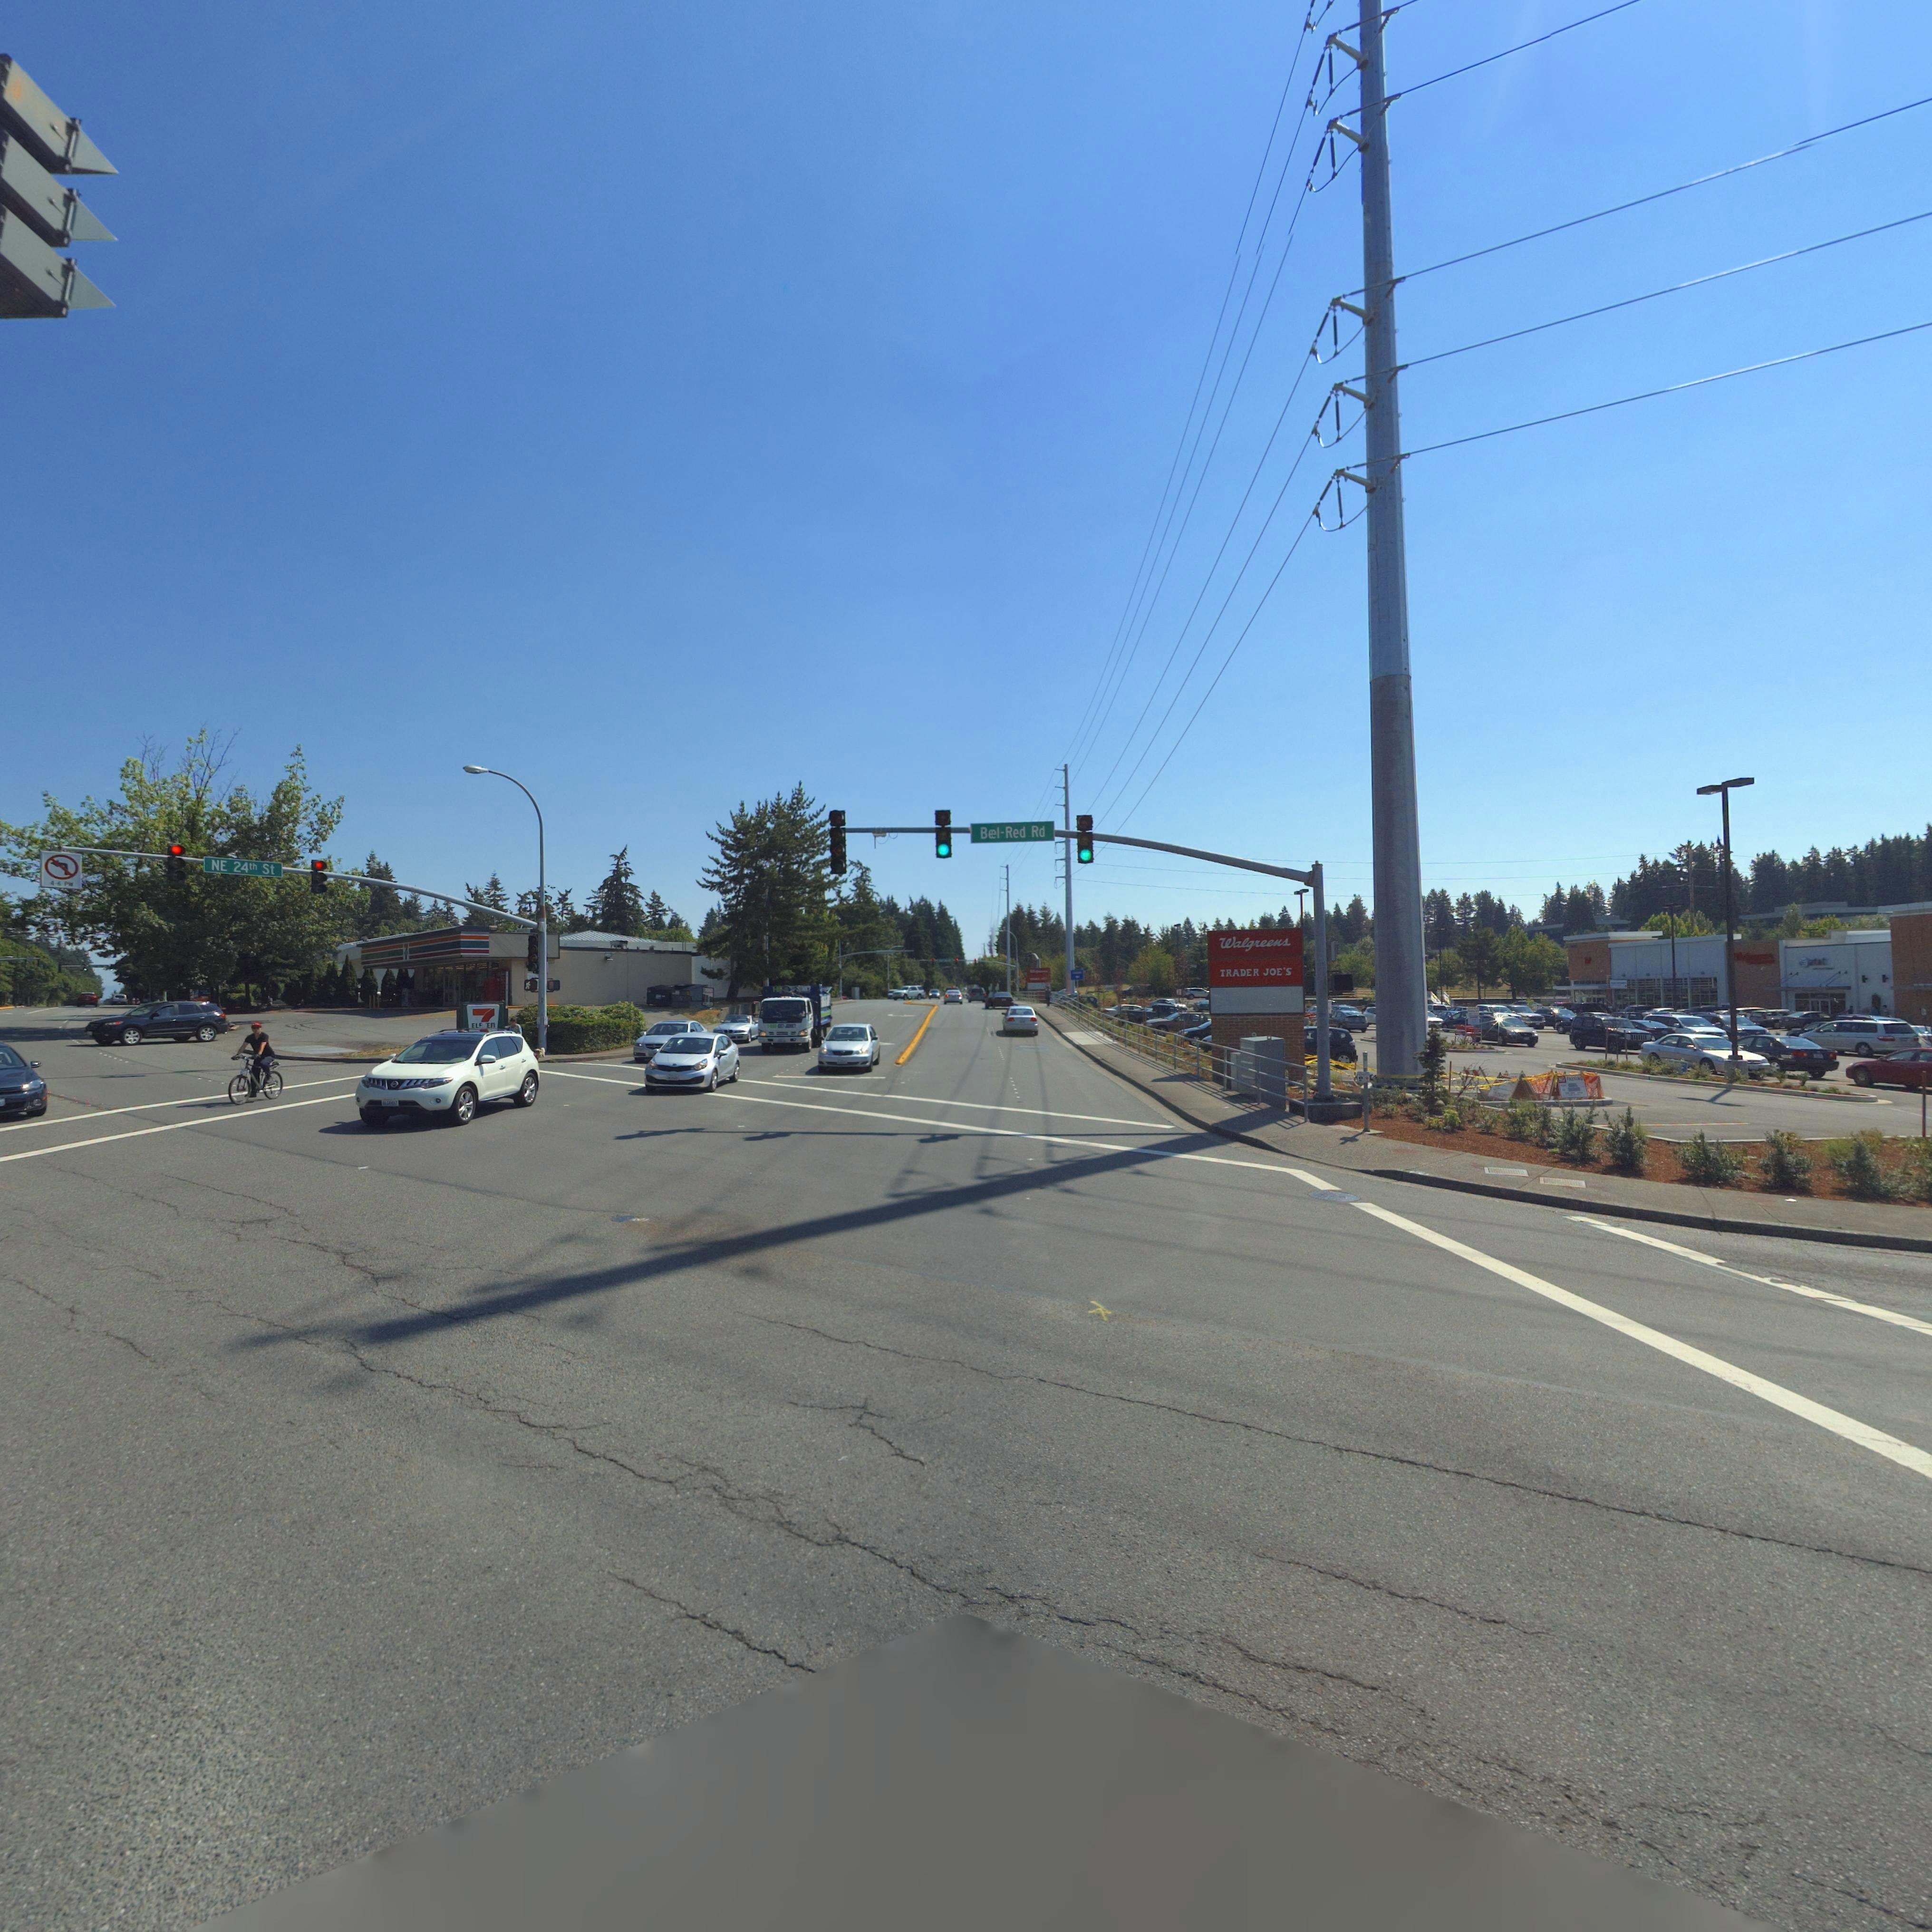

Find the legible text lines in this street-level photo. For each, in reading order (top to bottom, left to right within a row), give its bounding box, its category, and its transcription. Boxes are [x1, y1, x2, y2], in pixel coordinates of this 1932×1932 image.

[978, 825, 1046, 840] StreetName: Bel-Red Rd
[211, 859, 276, 876] StreetName: NE 24 TSE
[1218, 937, 1291, 952] BusinessName: Walgreens
[1220, 966, 1292, 976] BusinessName: TRADER JOE'S